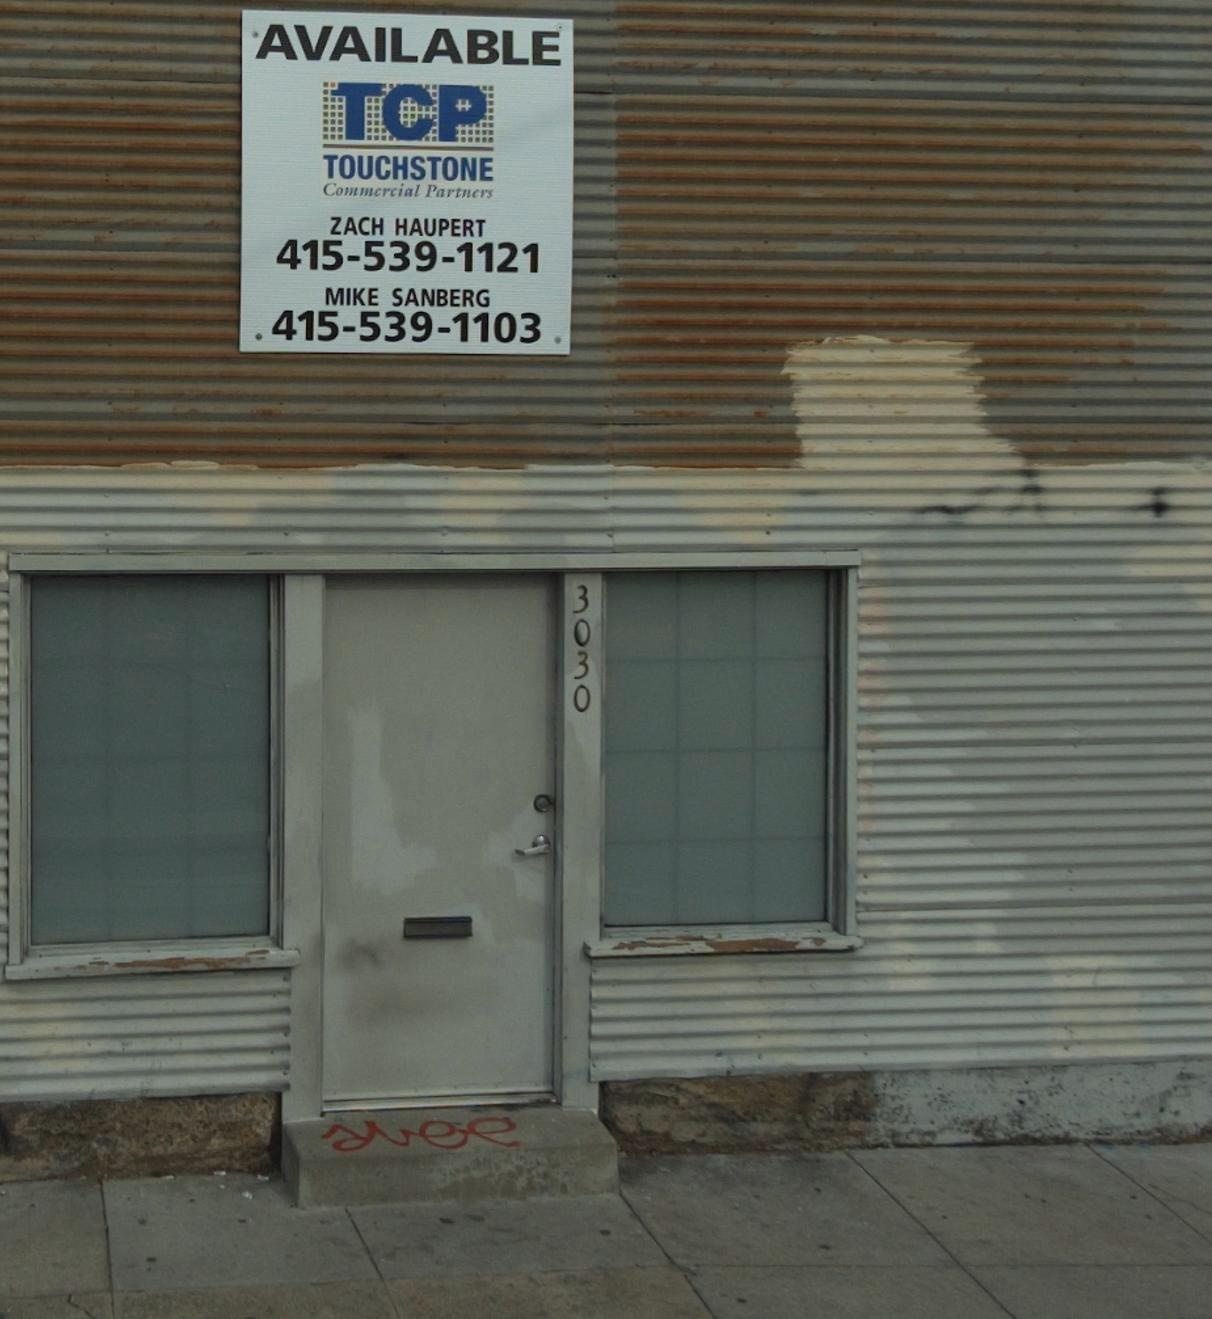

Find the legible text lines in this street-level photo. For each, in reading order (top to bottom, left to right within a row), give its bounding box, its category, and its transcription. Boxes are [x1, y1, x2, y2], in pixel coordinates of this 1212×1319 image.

[249, 19, 565, 67] None: AVAILABLE
[329, 79, 490, 144] None: TCP
[321, 152, 495, 183] None: TOUCHSTONE
[321, 180, 495, 200] None: Commercial Partners
[327, 214, 489, 239] None: ZACH HAUPERT
[273, 236, 541, 275] None: 415-539-1121
[323, 284, 492, 309] None: MIKE SANBERG
[267, 305, 545, 346] None: 415-539-1103
[570, 580, 595, 715] StreetNumber: 3030